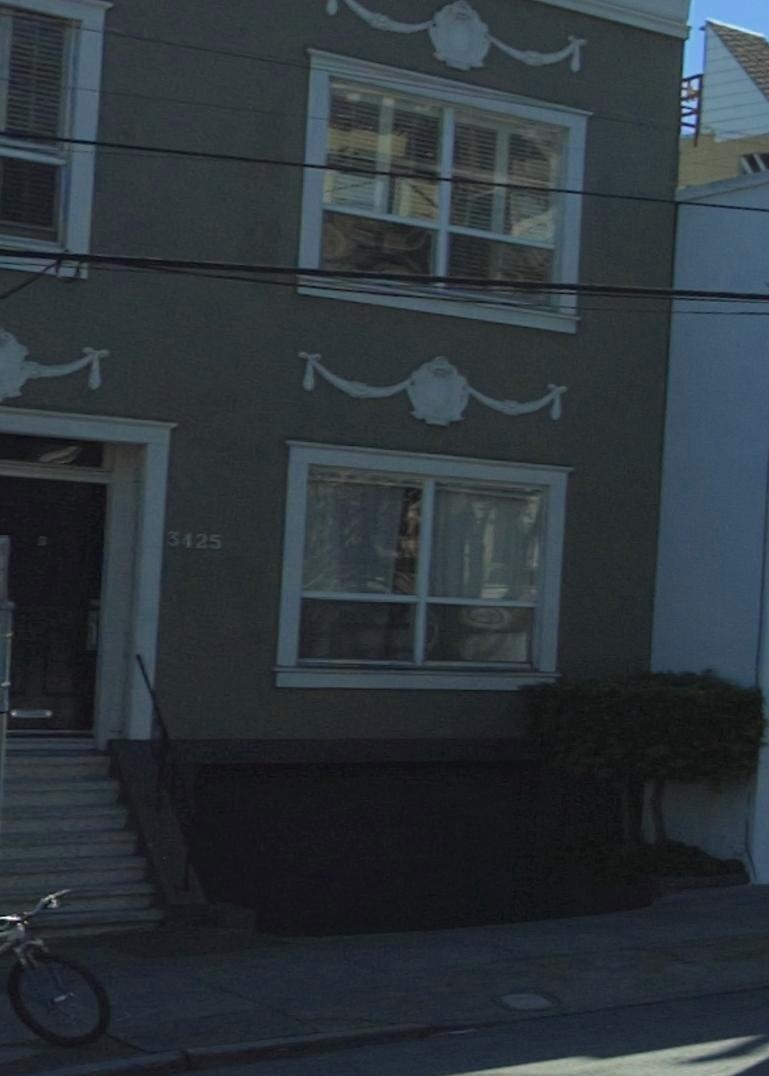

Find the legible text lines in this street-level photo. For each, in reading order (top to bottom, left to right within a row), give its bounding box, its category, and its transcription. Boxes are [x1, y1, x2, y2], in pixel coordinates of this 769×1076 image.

[165, 529, 224, 552] StreetNumber: 3425